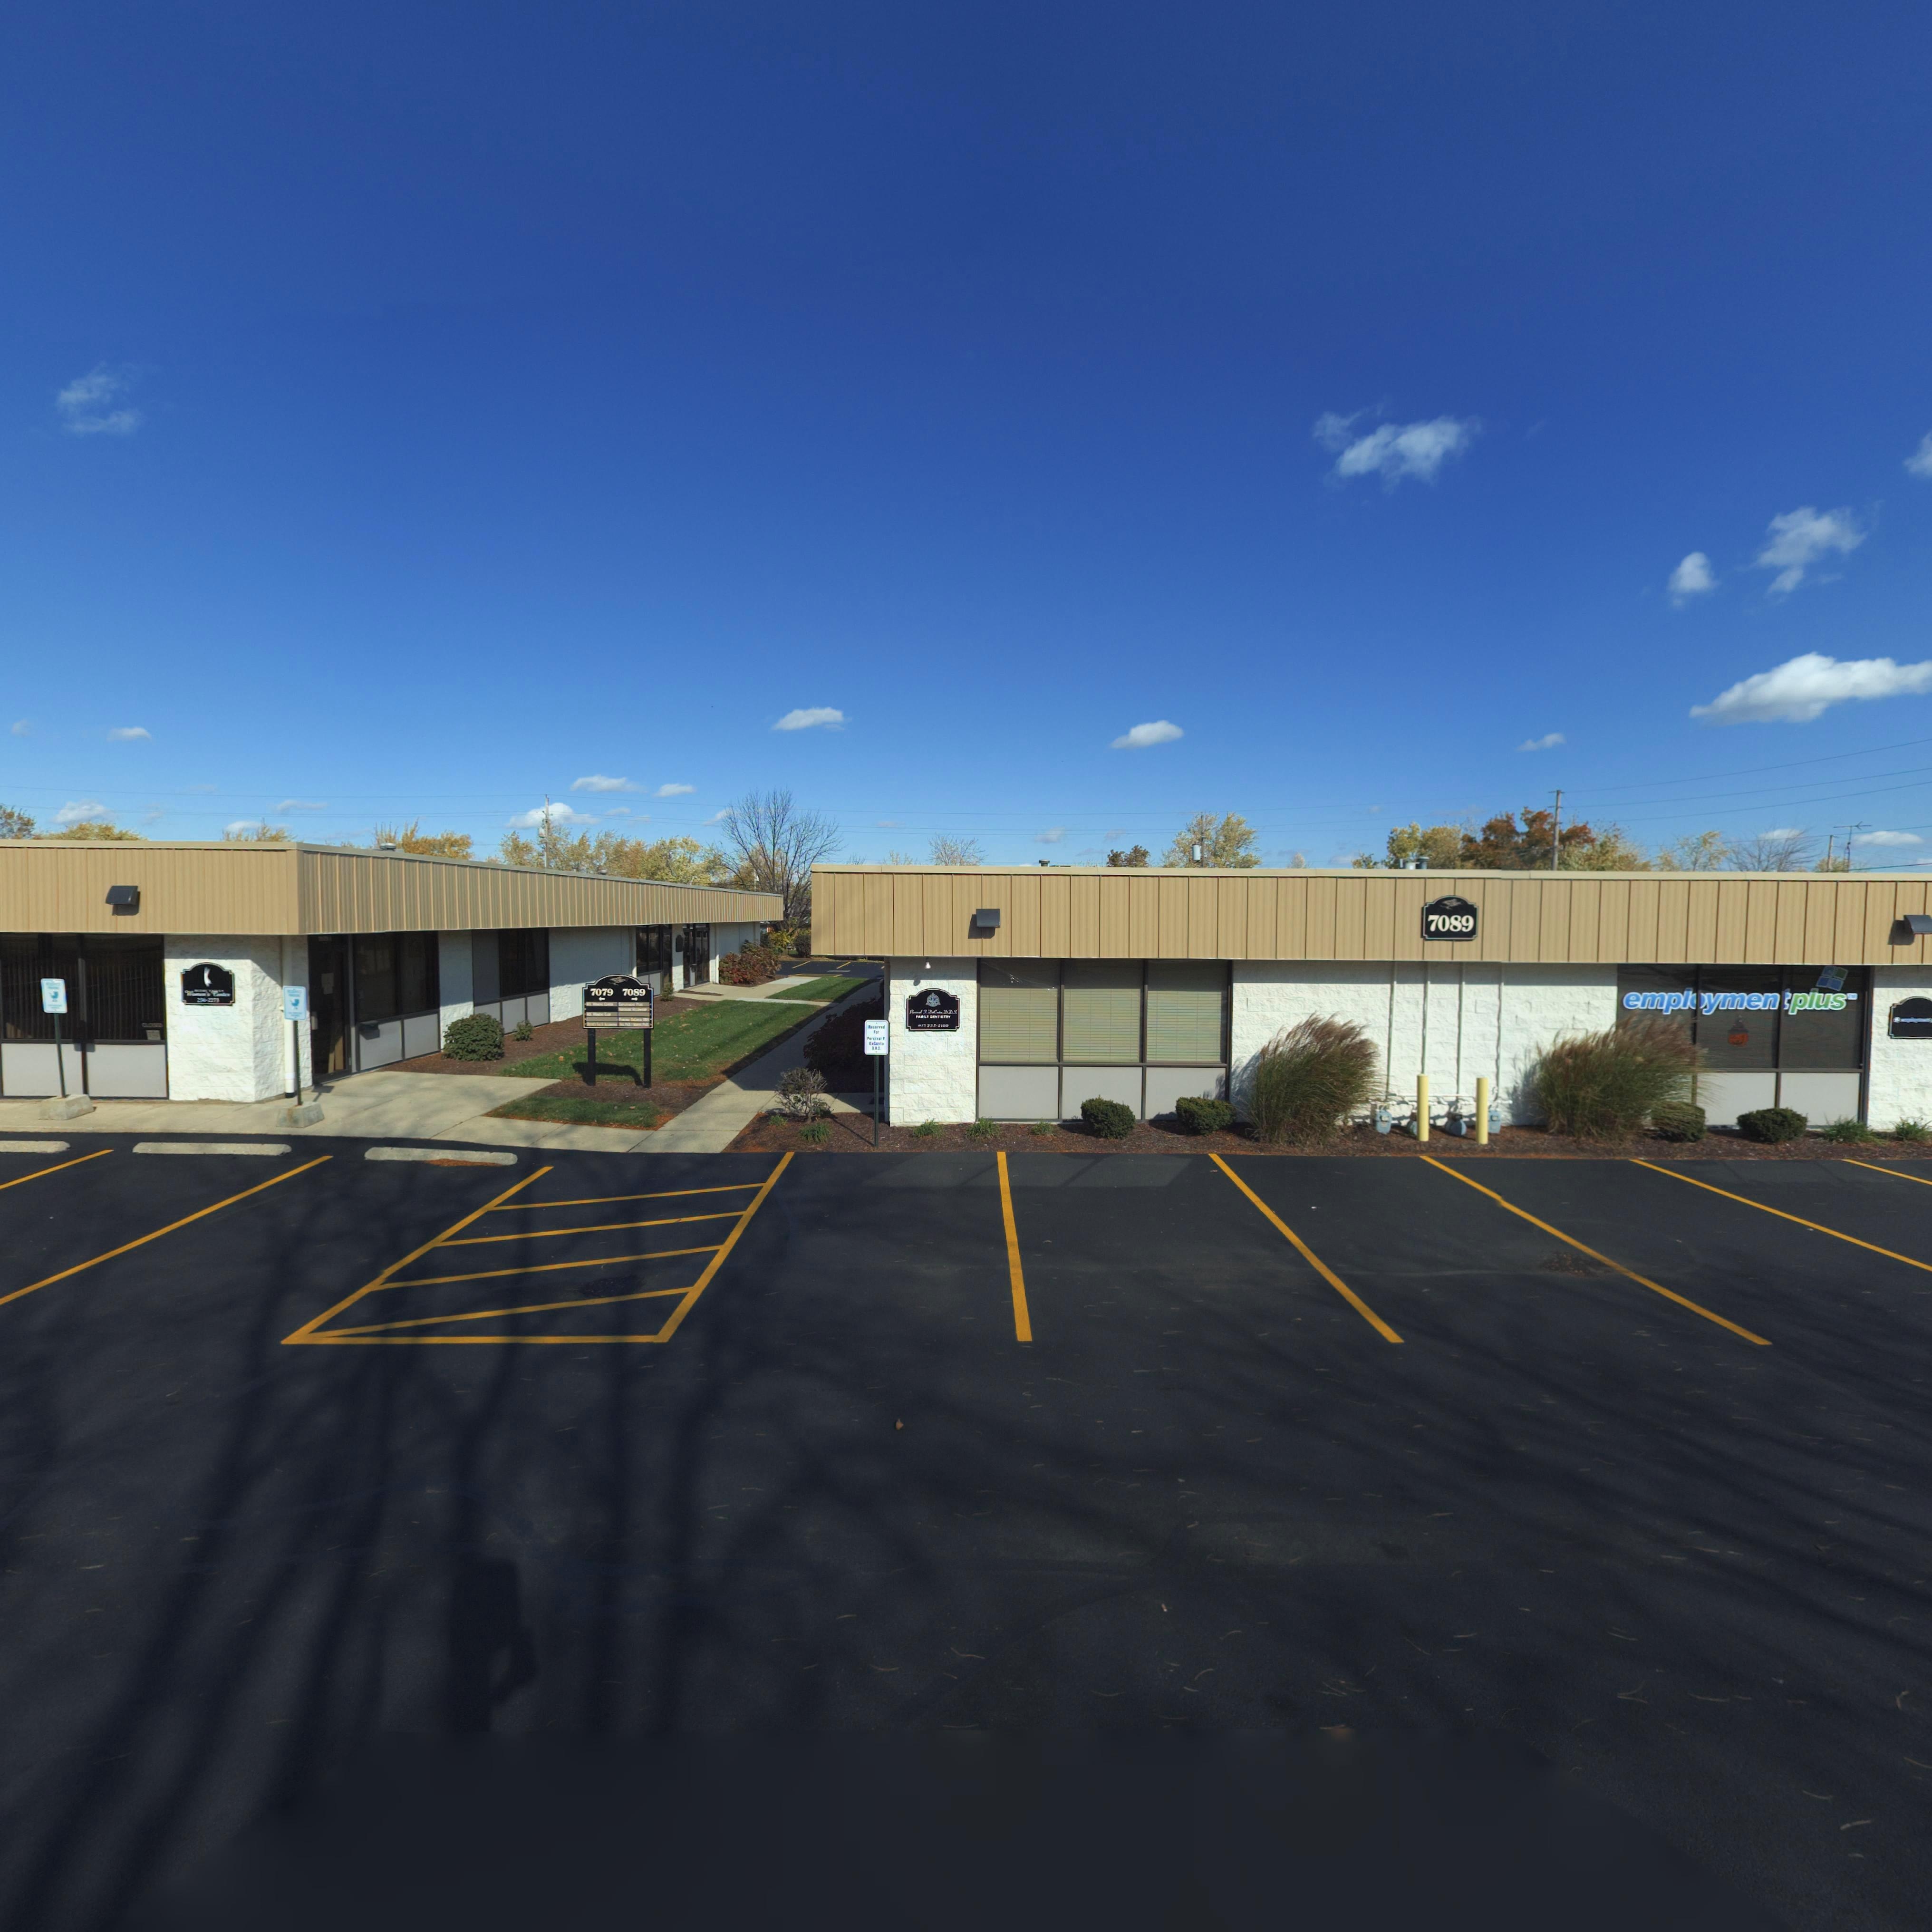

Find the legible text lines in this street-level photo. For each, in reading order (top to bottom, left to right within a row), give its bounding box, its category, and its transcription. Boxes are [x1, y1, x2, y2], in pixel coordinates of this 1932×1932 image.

[1426, 914, 1476, 934] StreetNumber: 7089
[589, 987, 615, 997] StreetNumber: 7079
[620, 987, 647, 997] StreetNumber: 7089